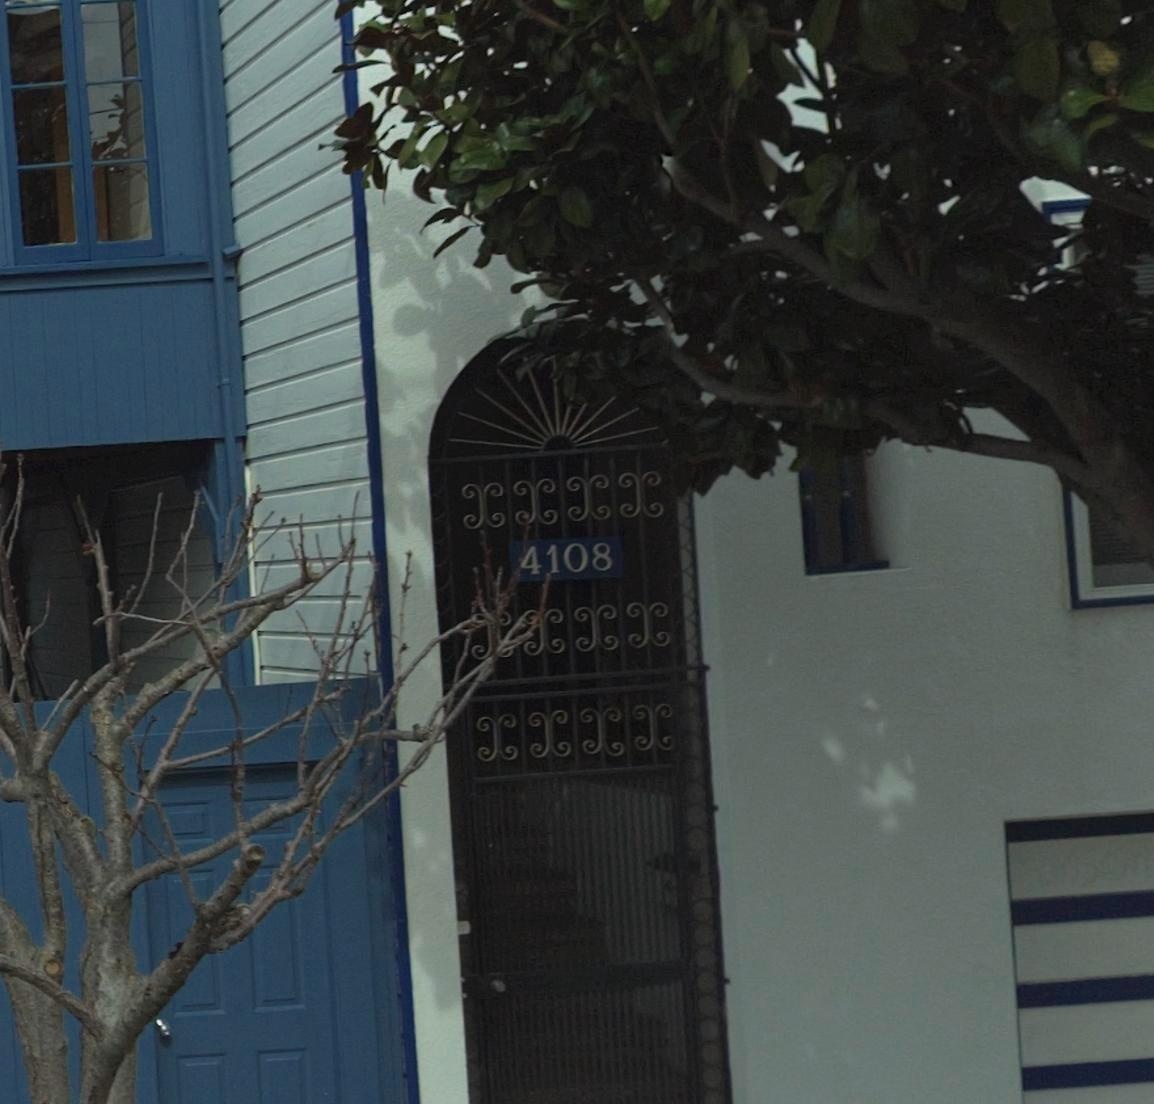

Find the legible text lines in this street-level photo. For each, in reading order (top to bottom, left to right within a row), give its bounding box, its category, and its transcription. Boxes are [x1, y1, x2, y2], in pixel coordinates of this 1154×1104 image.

[520, 539, 614, 577] StreetNumber: 4108